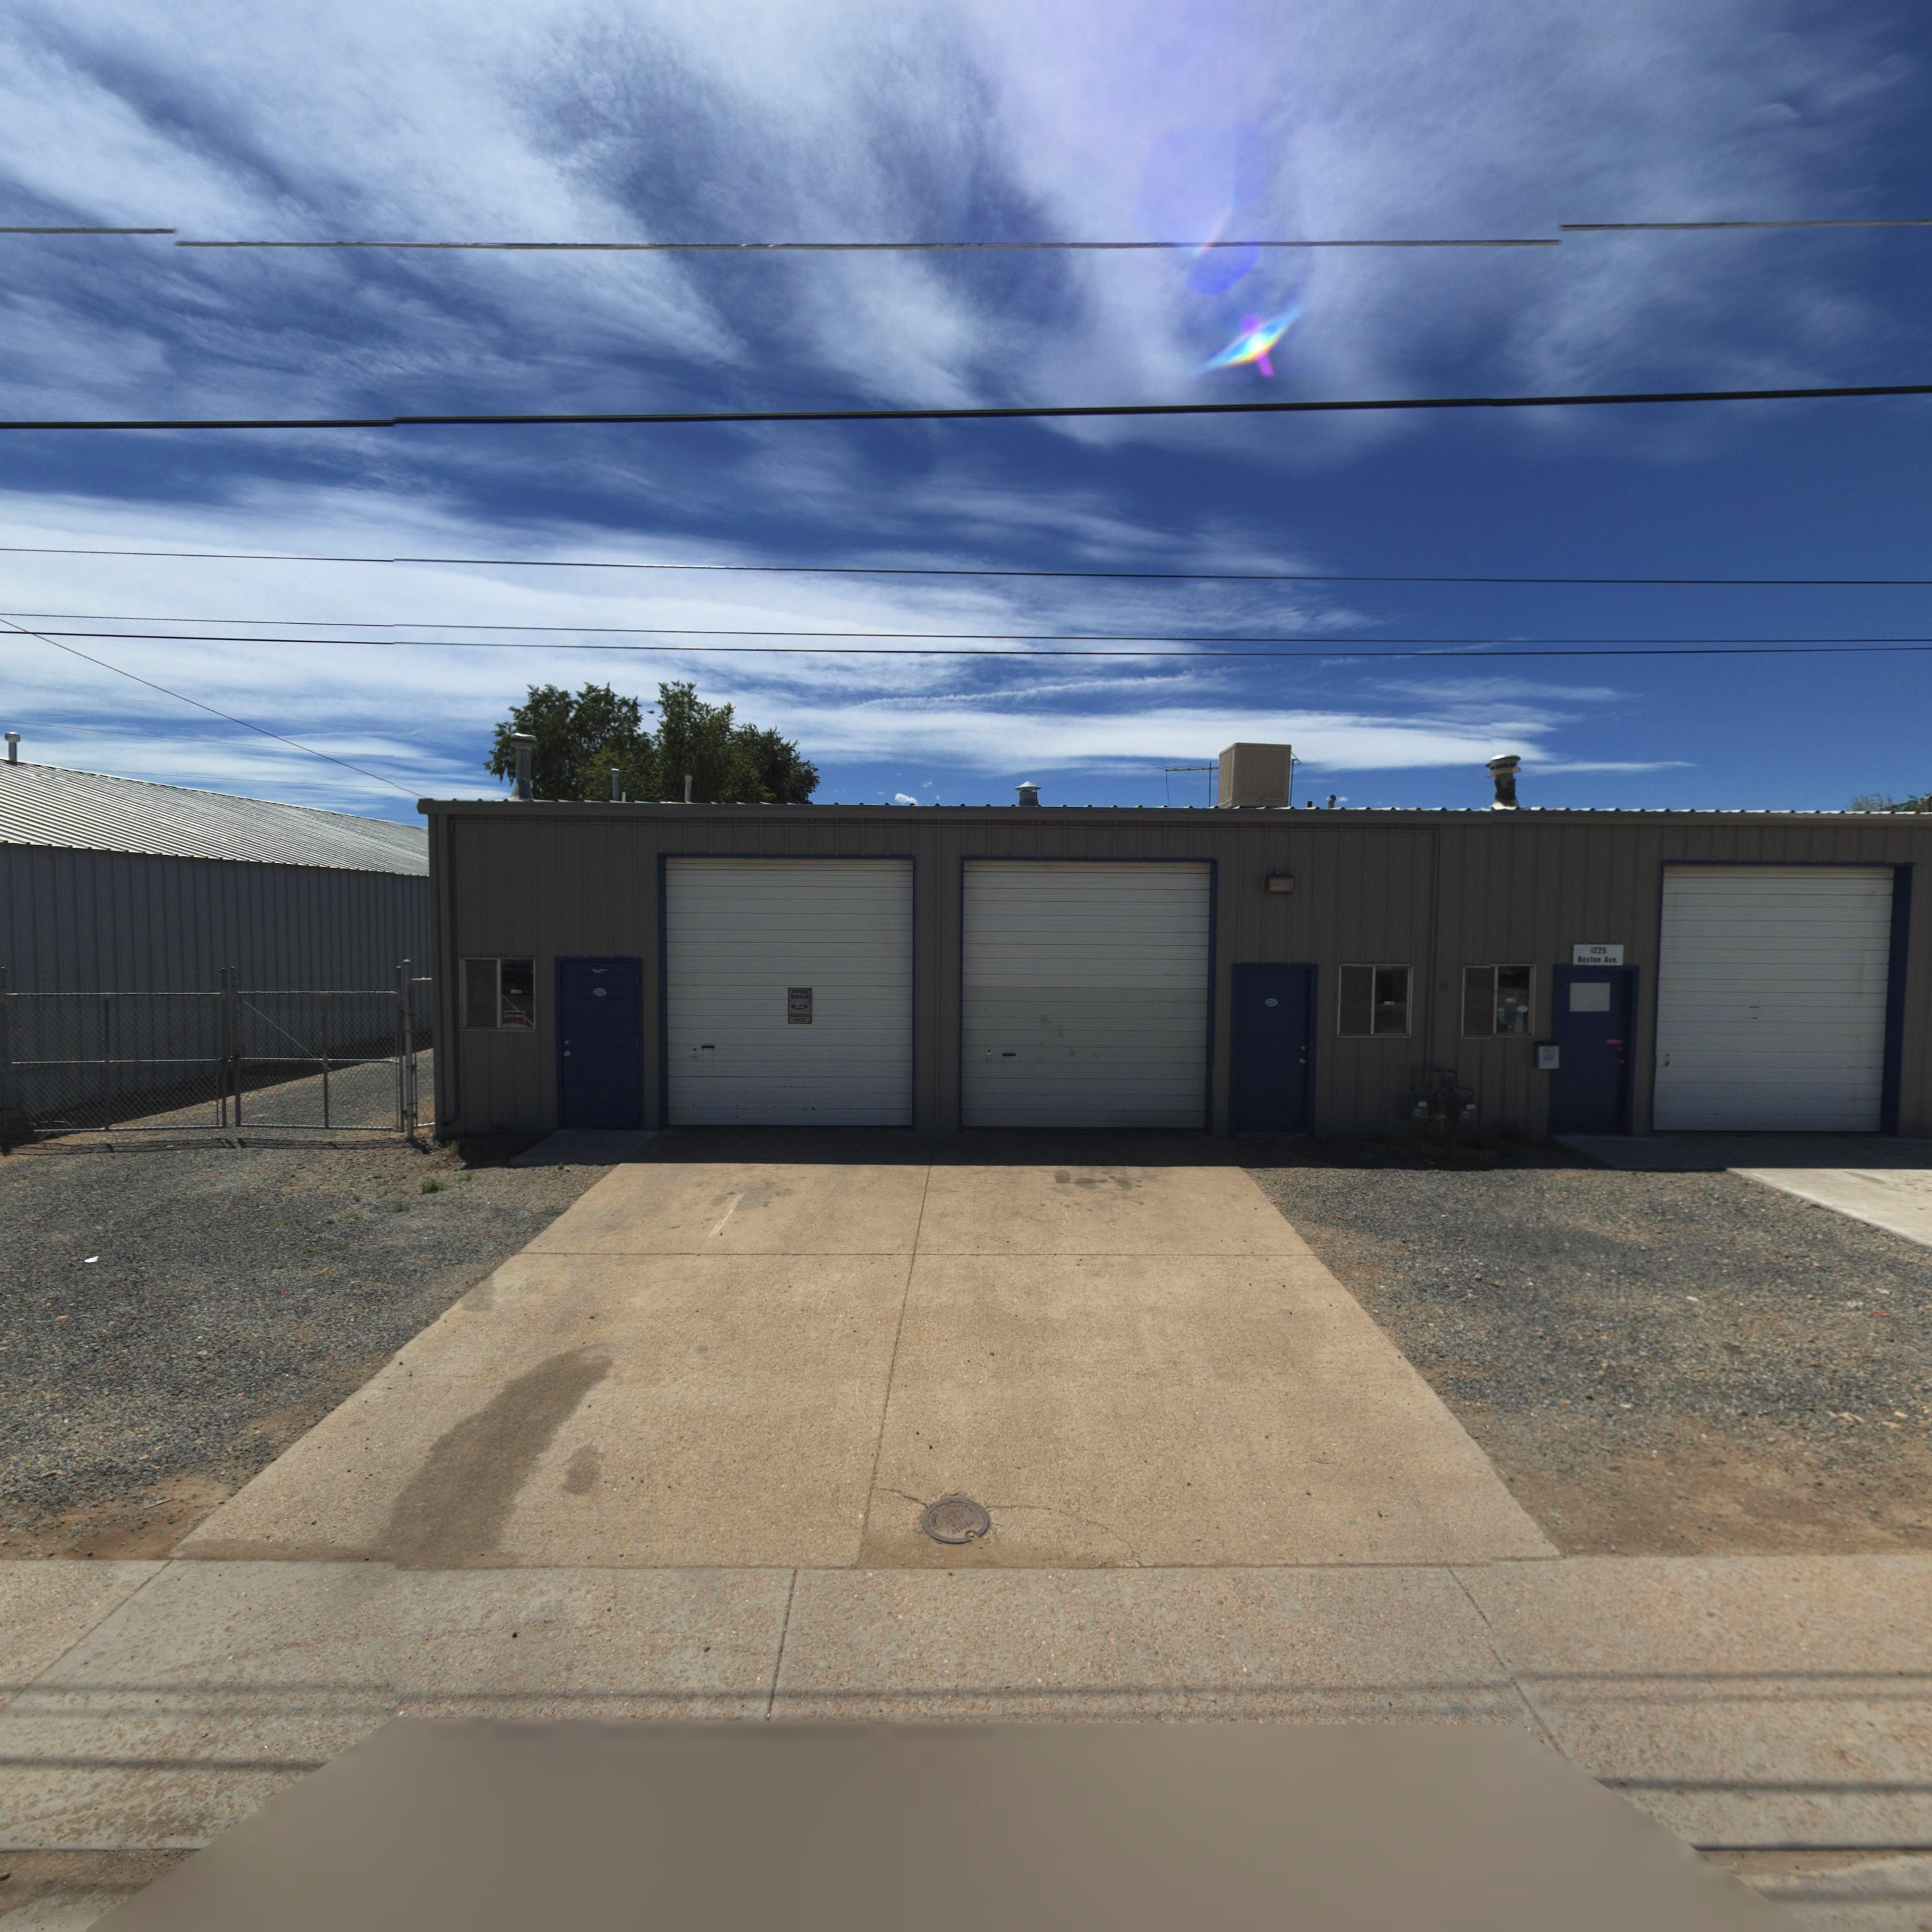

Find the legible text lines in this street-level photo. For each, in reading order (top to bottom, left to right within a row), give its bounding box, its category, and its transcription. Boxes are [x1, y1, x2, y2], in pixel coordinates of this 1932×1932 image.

[1591, 947, 1606, 954] StreetNumber: 1225
[1577, 955, 1616, 963] StreetName: Boston Ave